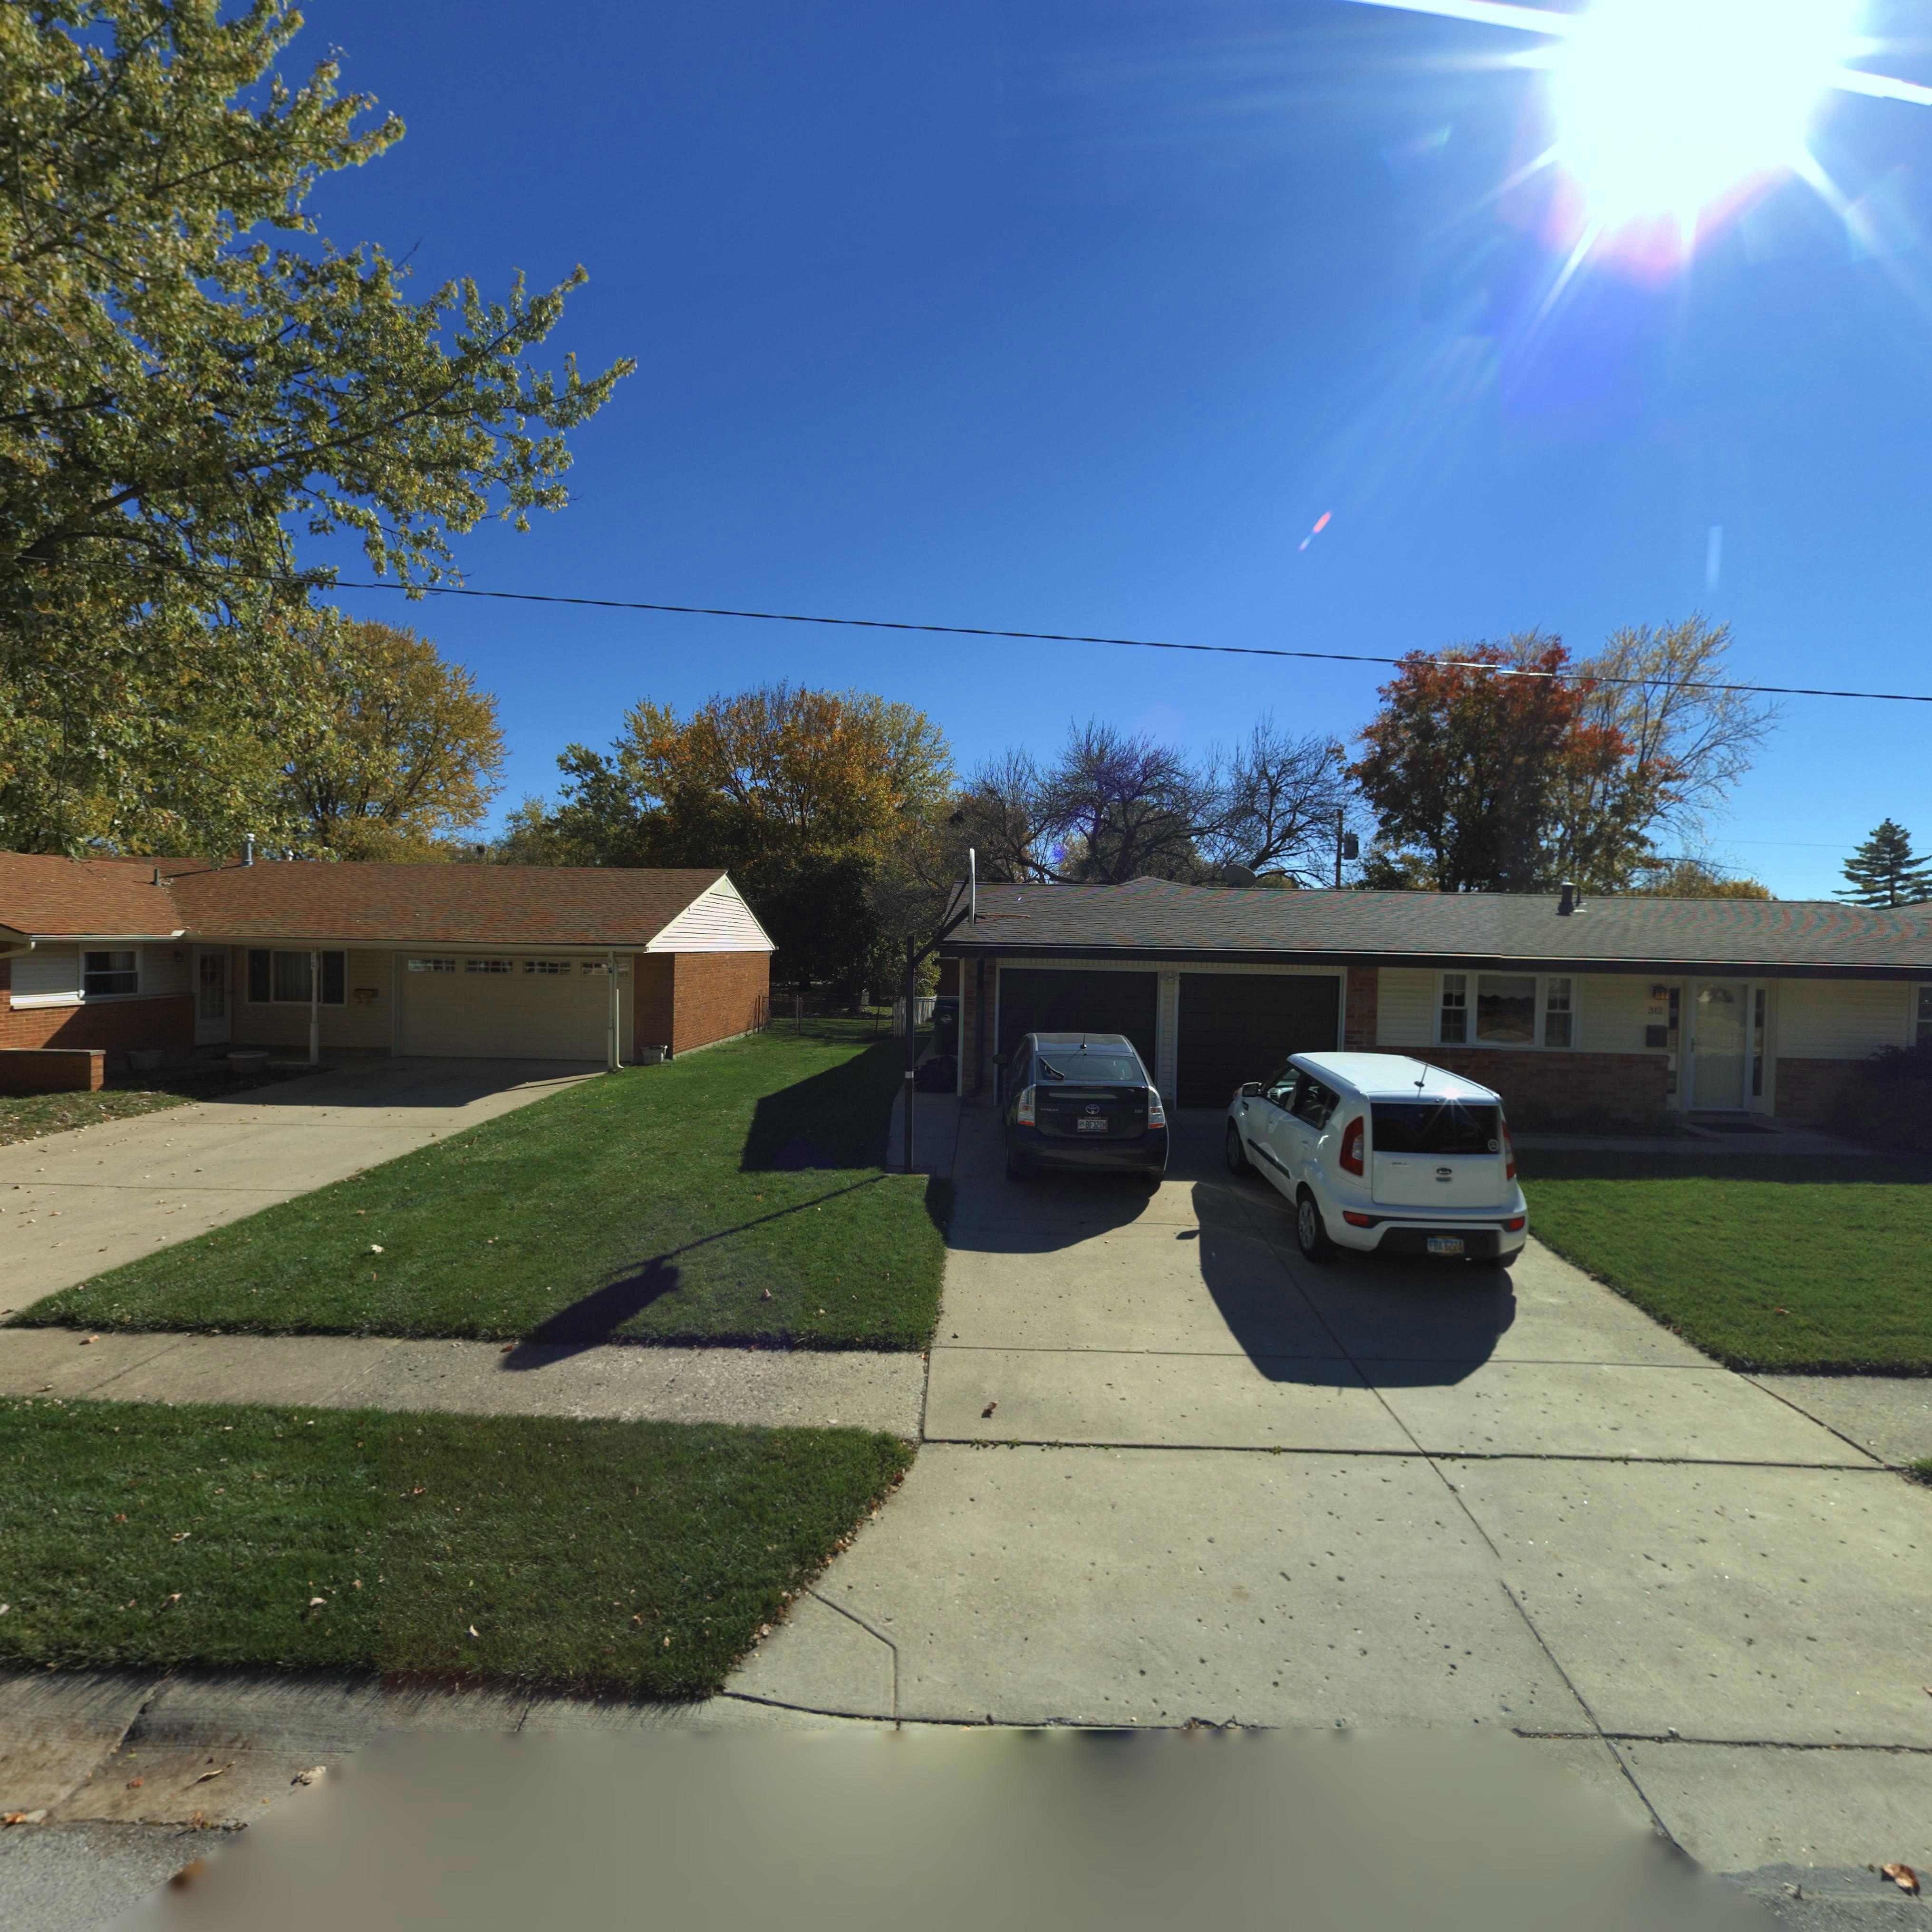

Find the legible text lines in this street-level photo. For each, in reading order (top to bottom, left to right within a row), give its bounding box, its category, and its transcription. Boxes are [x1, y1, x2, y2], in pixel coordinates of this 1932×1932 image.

[310, 946, 317, 969] StreetNumber: 310
[1646, 1005, 1664, 1016] StreetNumber: 312
[1039, 1107, 1059, 1111] None: P**US
[1085, 1120, 1107, 1130] None: BF32DH
[1428, 1239, 1464, 1252] None: FBA*6224